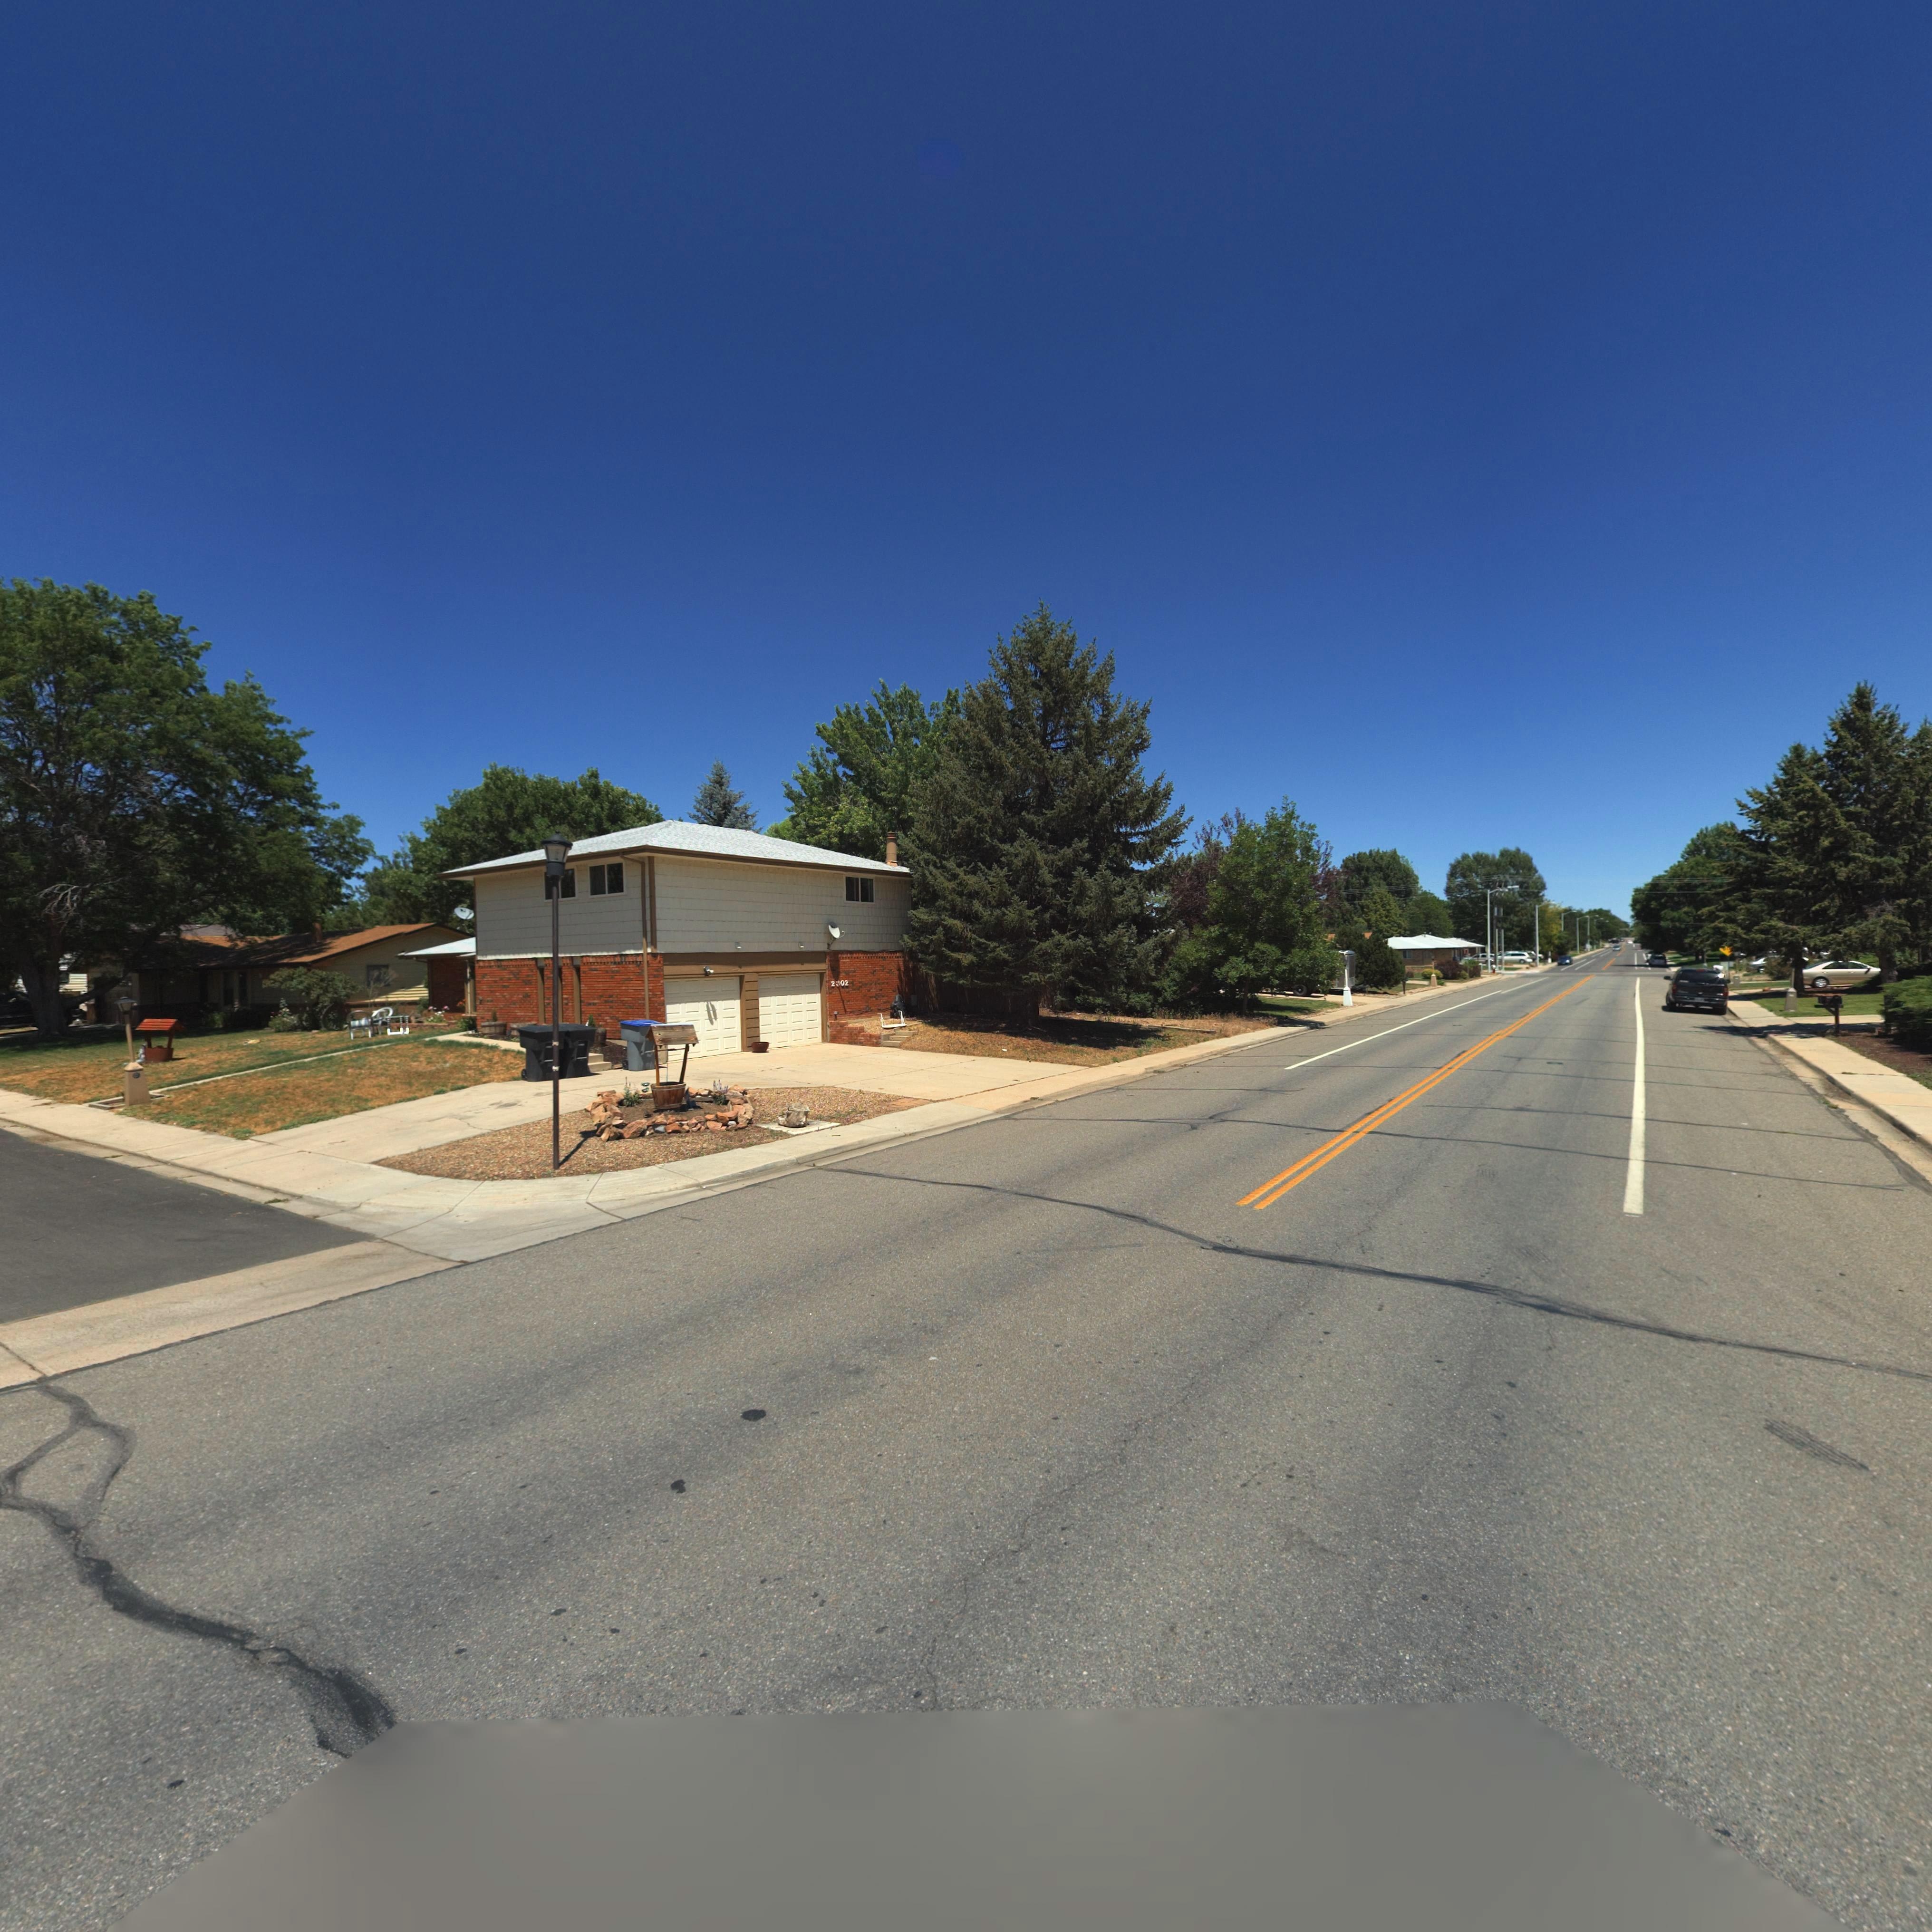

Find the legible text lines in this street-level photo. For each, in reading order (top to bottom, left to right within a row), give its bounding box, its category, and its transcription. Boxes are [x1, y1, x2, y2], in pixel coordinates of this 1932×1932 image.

[831, 980, 849, 986] StreetNumber: 2302